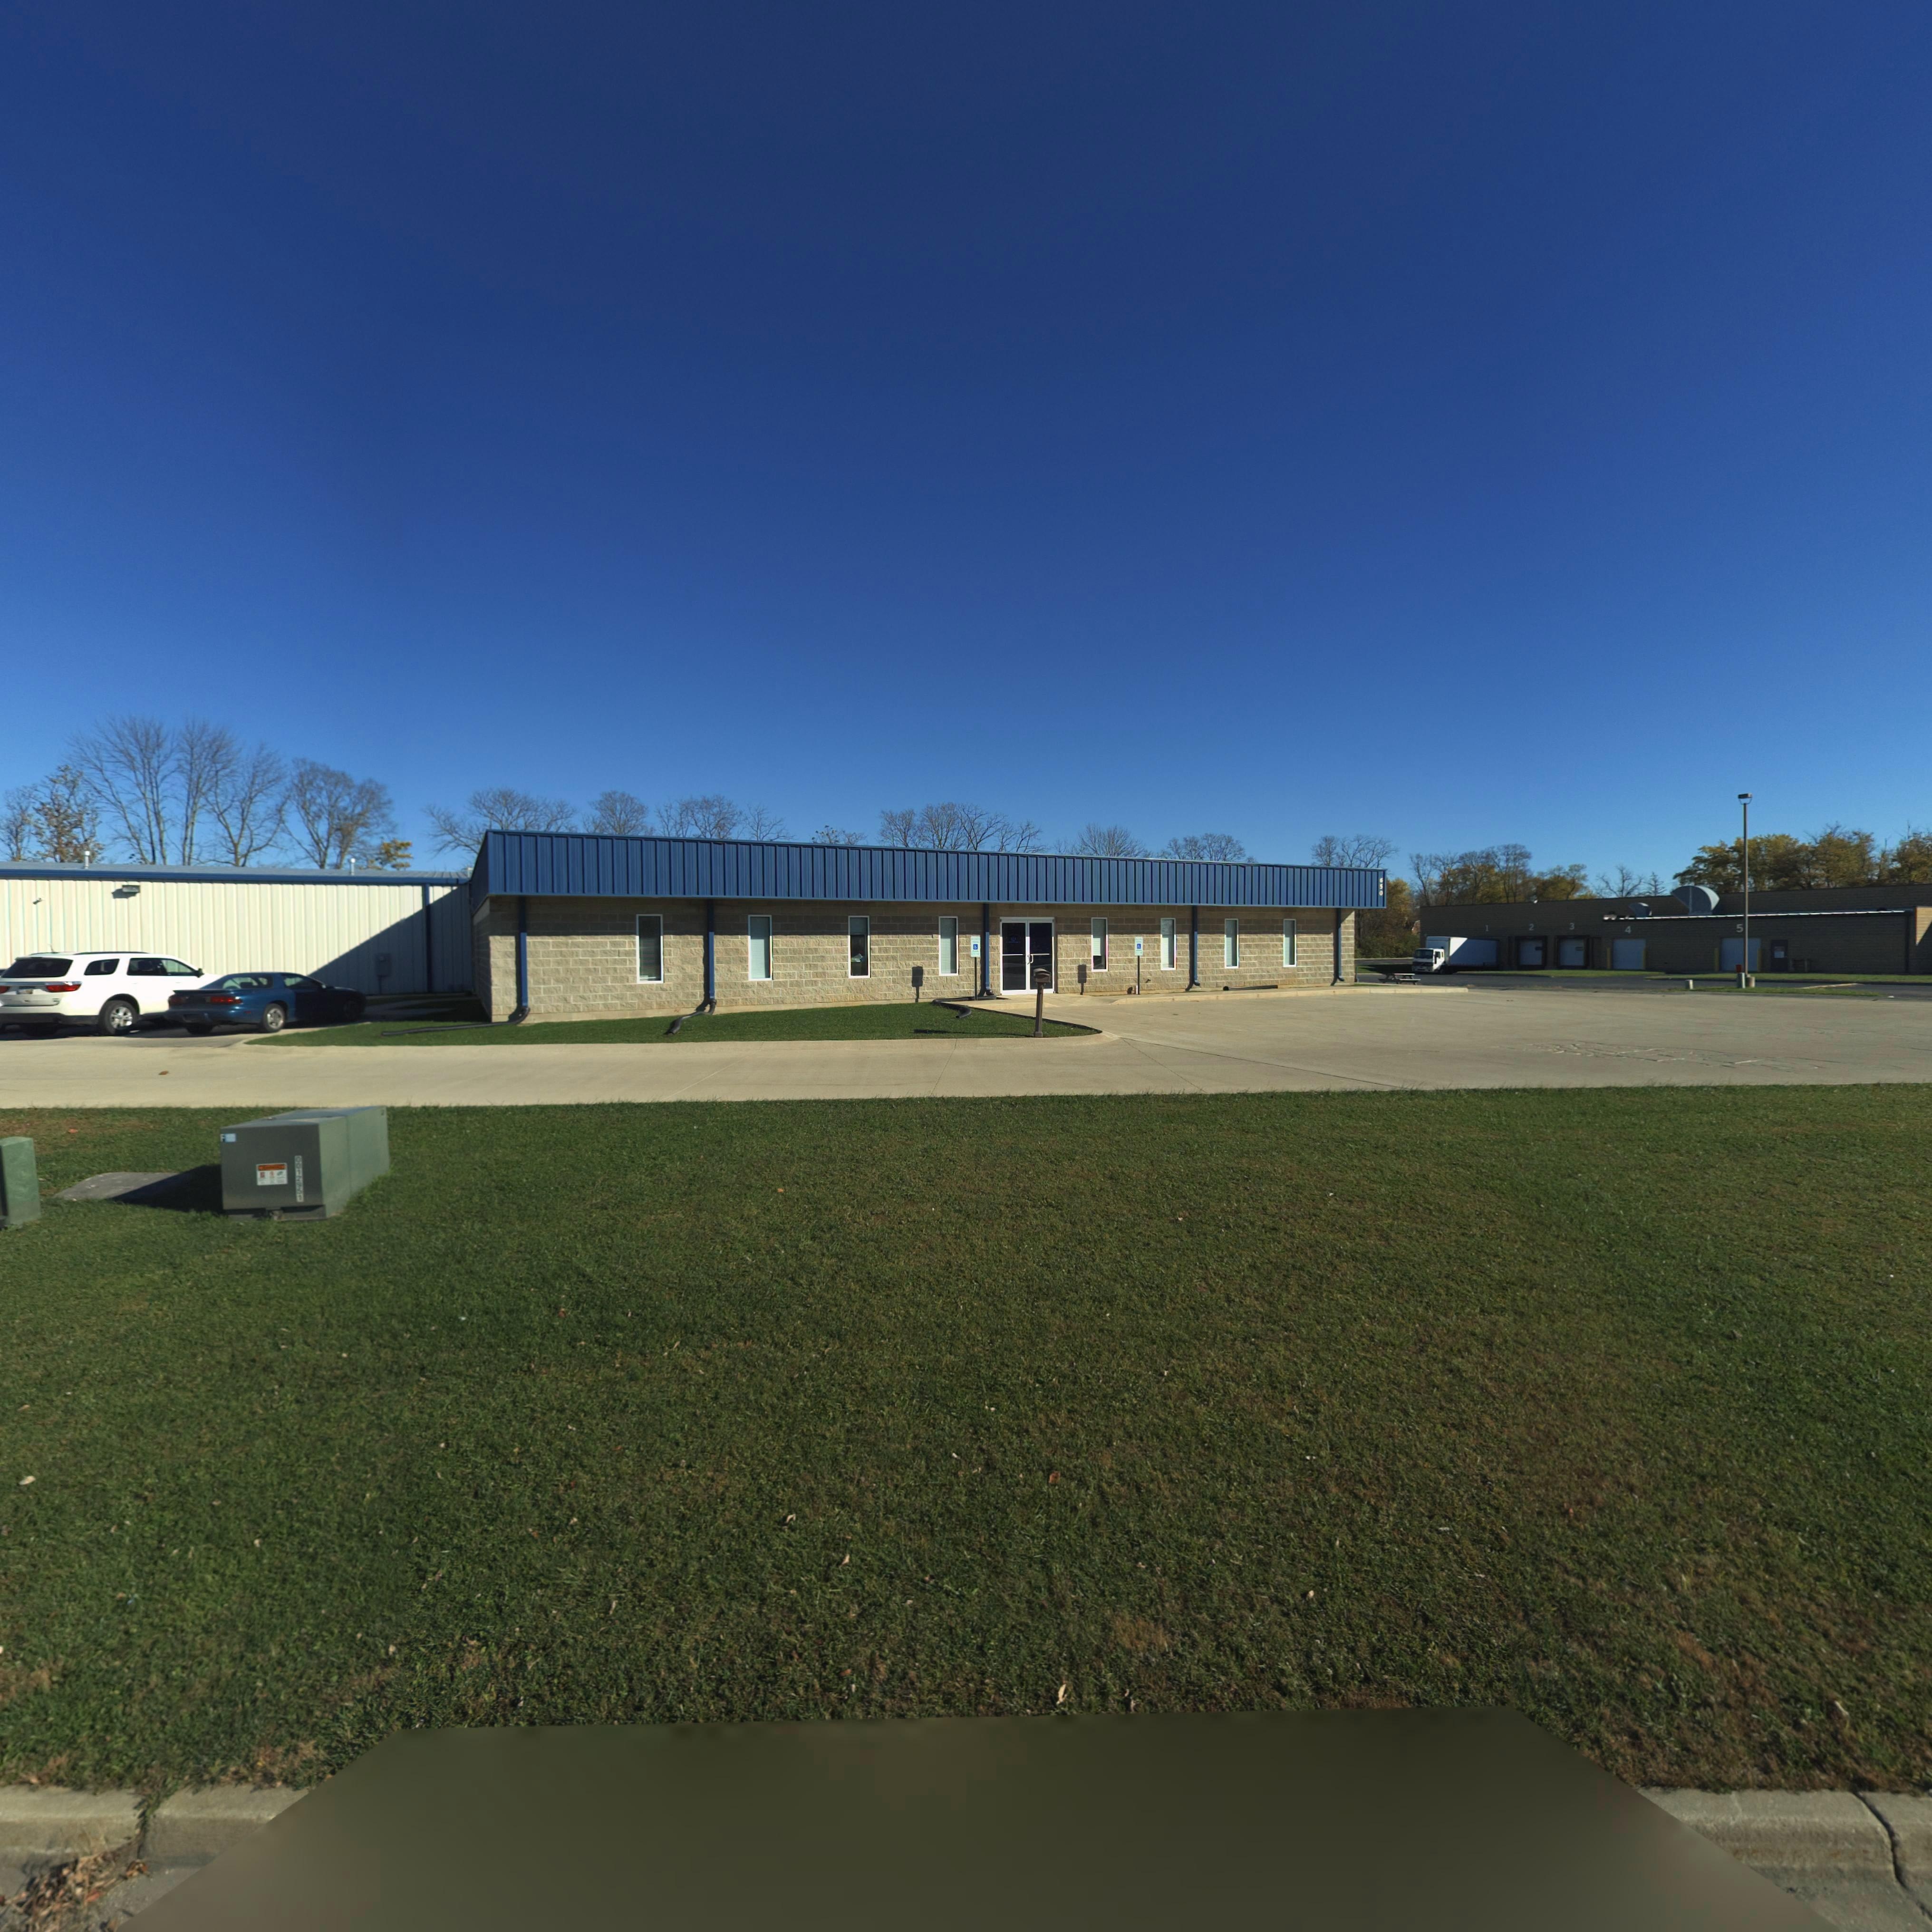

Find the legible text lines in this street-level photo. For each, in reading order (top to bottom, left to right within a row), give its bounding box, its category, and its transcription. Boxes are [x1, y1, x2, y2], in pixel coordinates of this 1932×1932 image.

[1379, 877, 1383, 896] StreetNumber: 650